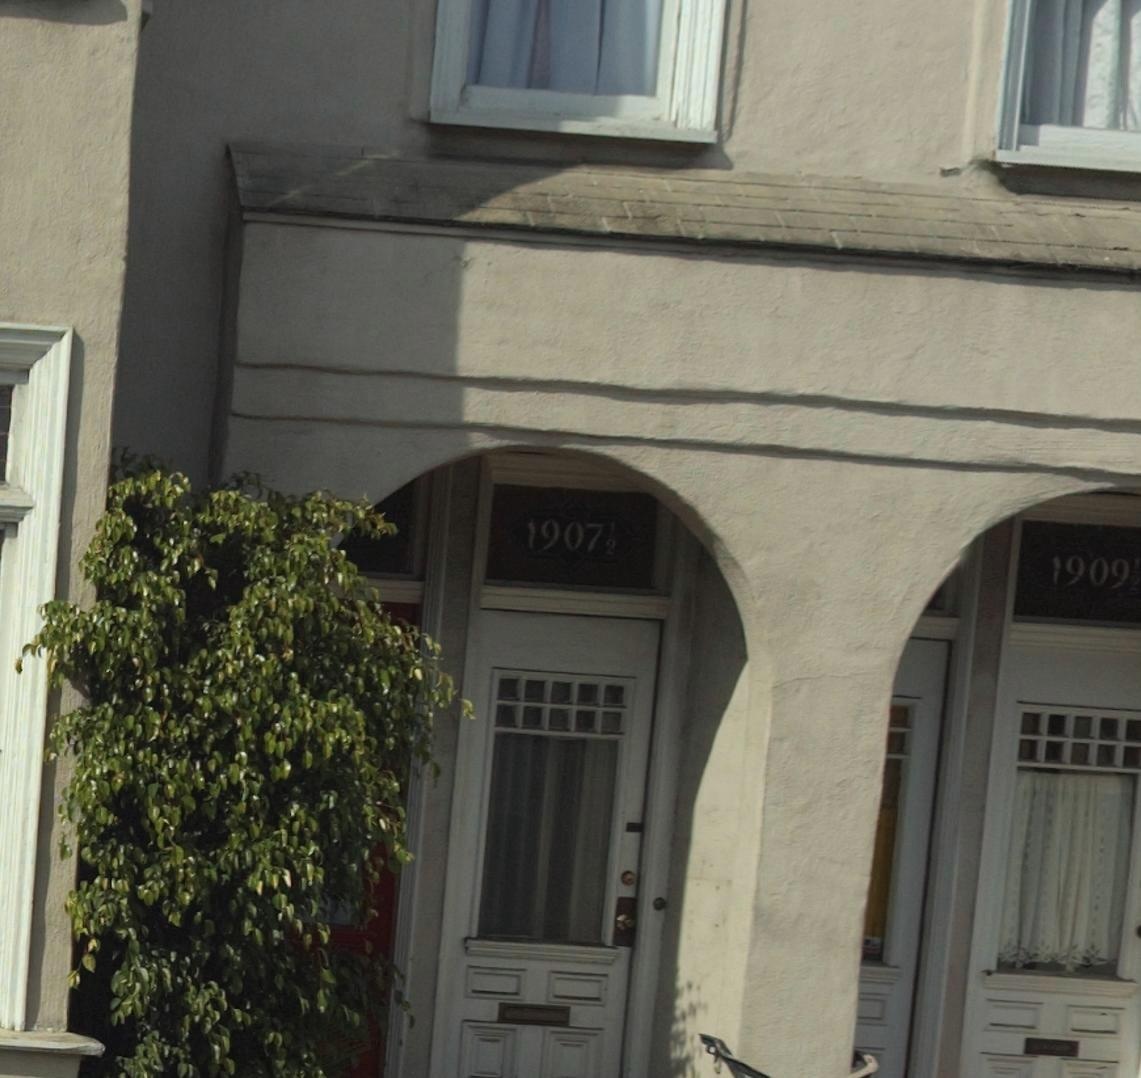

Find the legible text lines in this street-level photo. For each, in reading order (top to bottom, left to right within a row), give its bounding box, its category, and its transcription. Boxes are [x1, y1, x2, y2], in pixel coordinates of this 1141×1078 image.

[525, 514, 623, 560] StreetNumber: 1907 1/2
[1049, 552, 1141, 595] StreetNumber: 1909 1/2